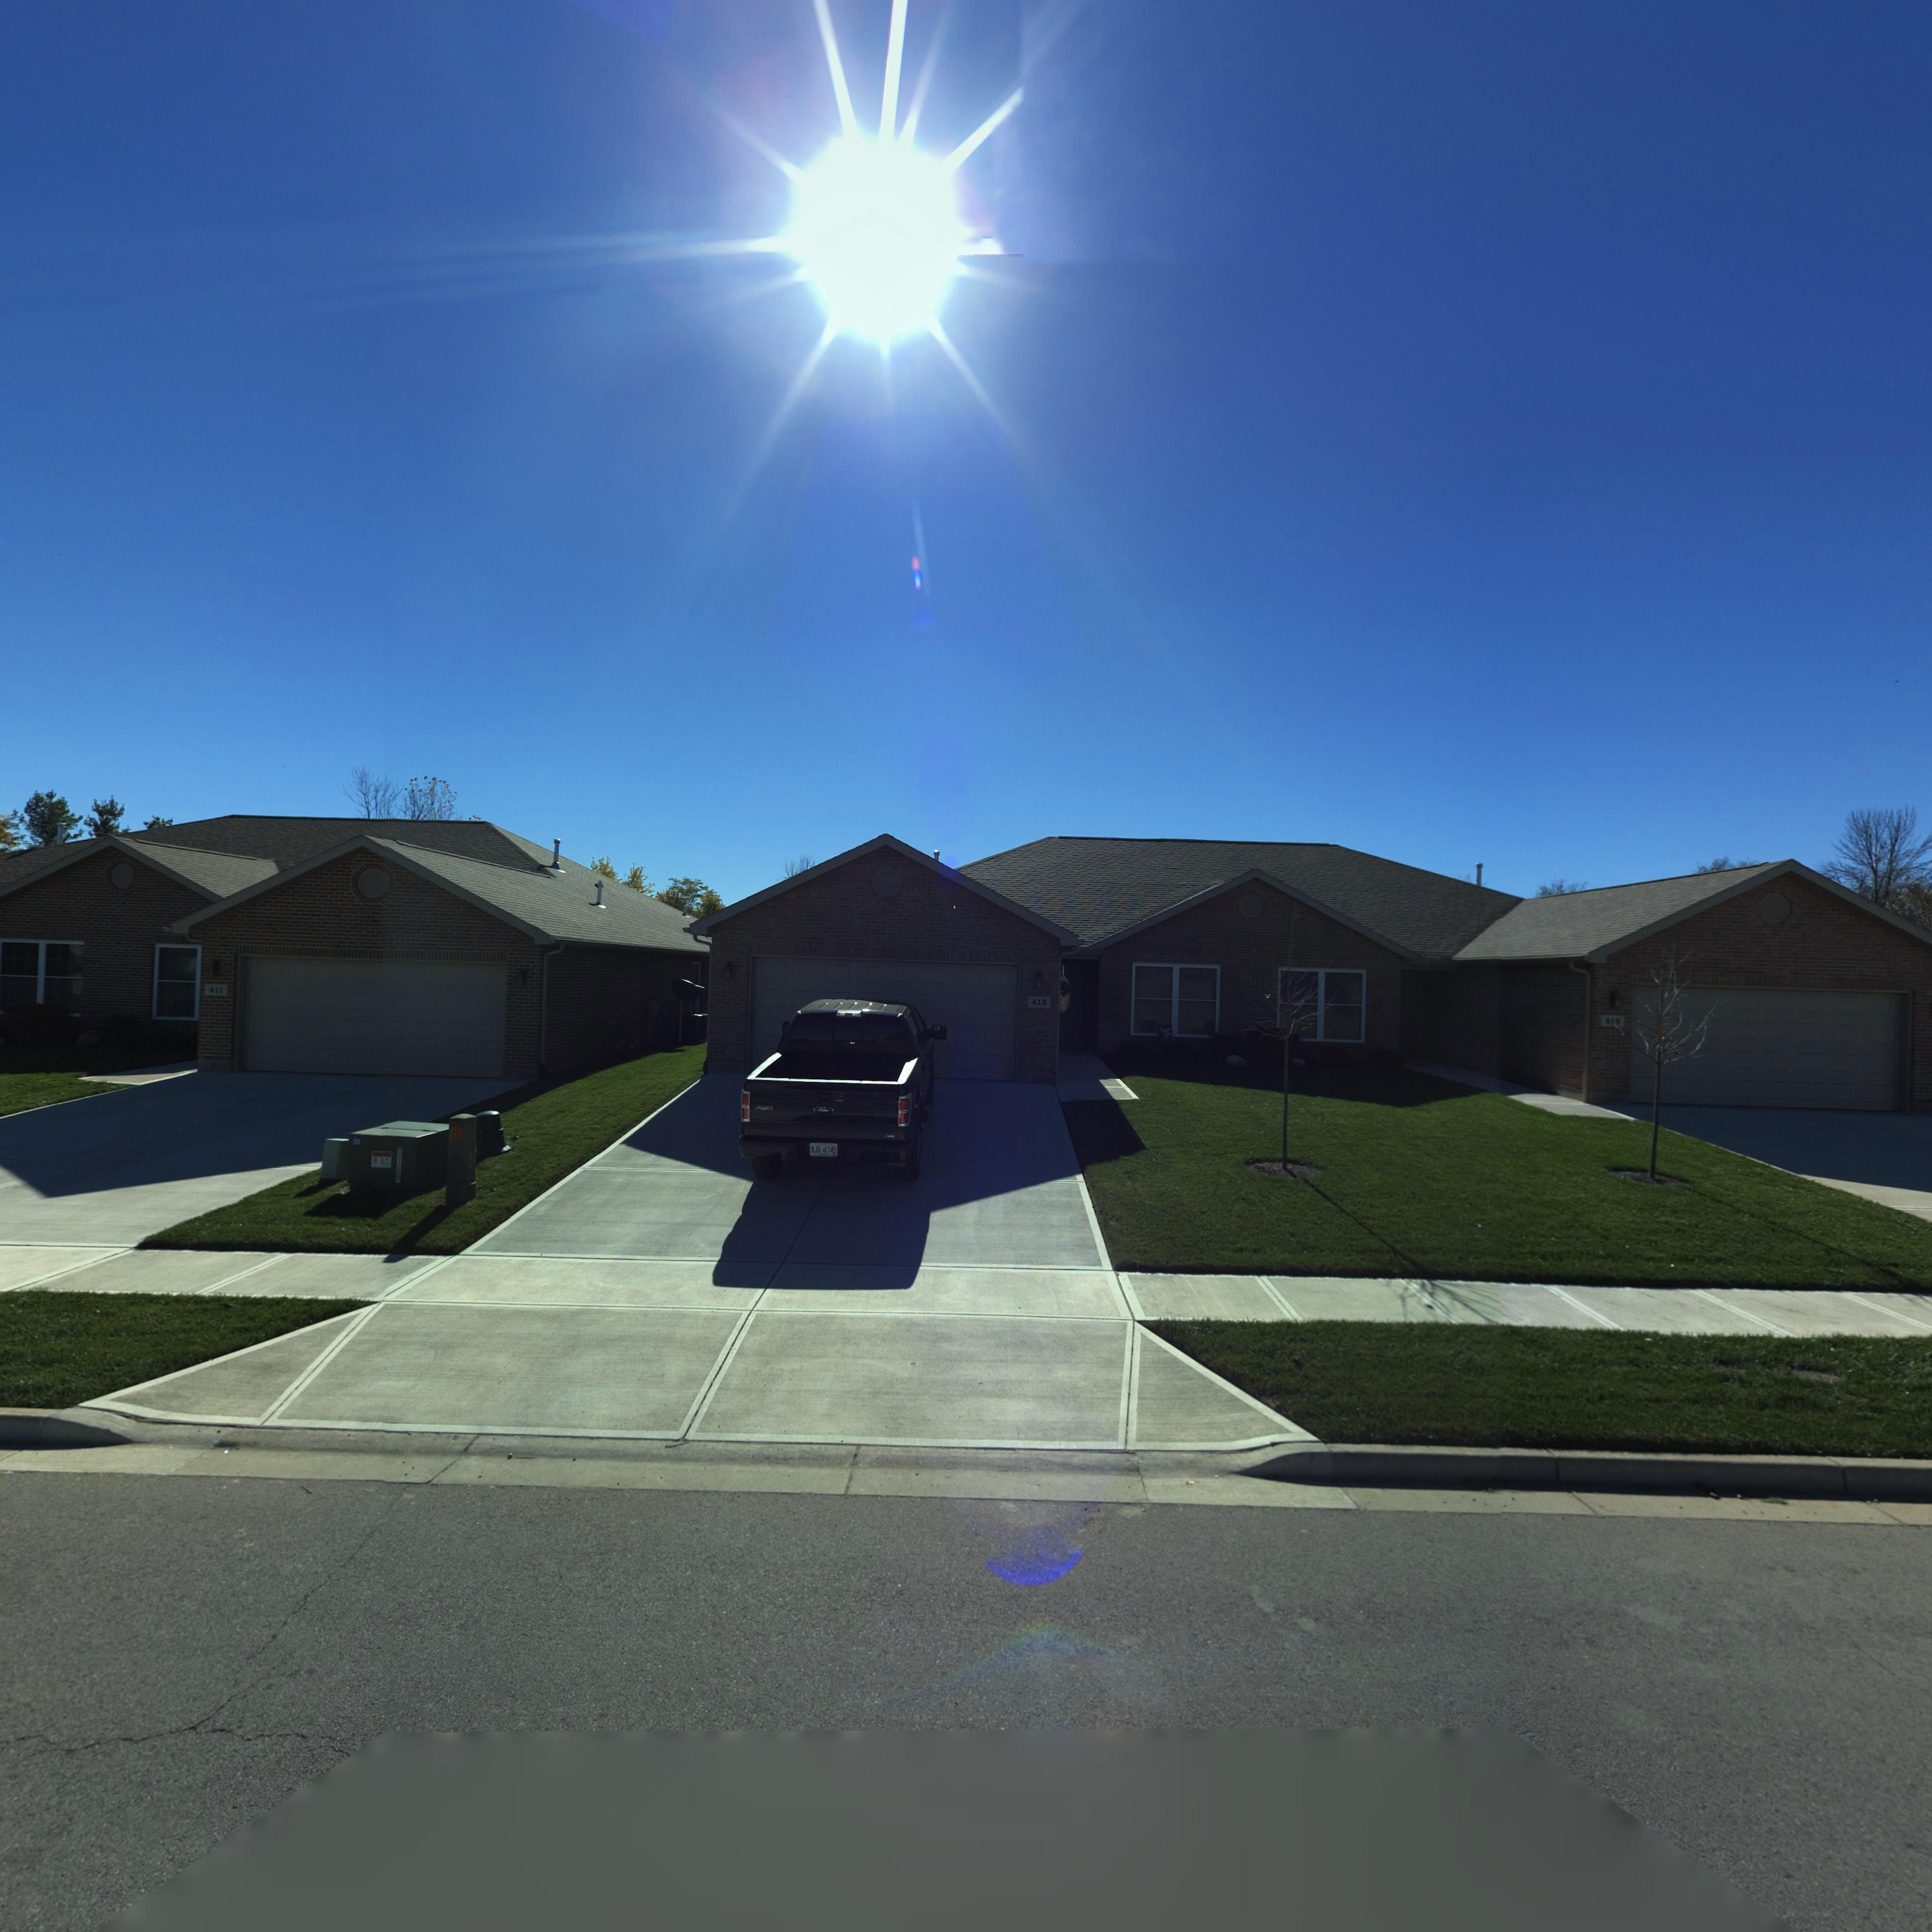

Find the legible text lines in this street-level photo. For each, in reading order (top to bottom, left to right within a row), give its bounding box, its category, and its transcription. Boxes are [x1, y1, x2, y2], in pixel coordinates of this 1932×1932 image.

[207, 985, 224, 995] StreetNumber: 411
[1030, 997, 1048, 1006] StreetNumber: 413
[1604, 1016, 1622, 1025] StreetNumber: 415